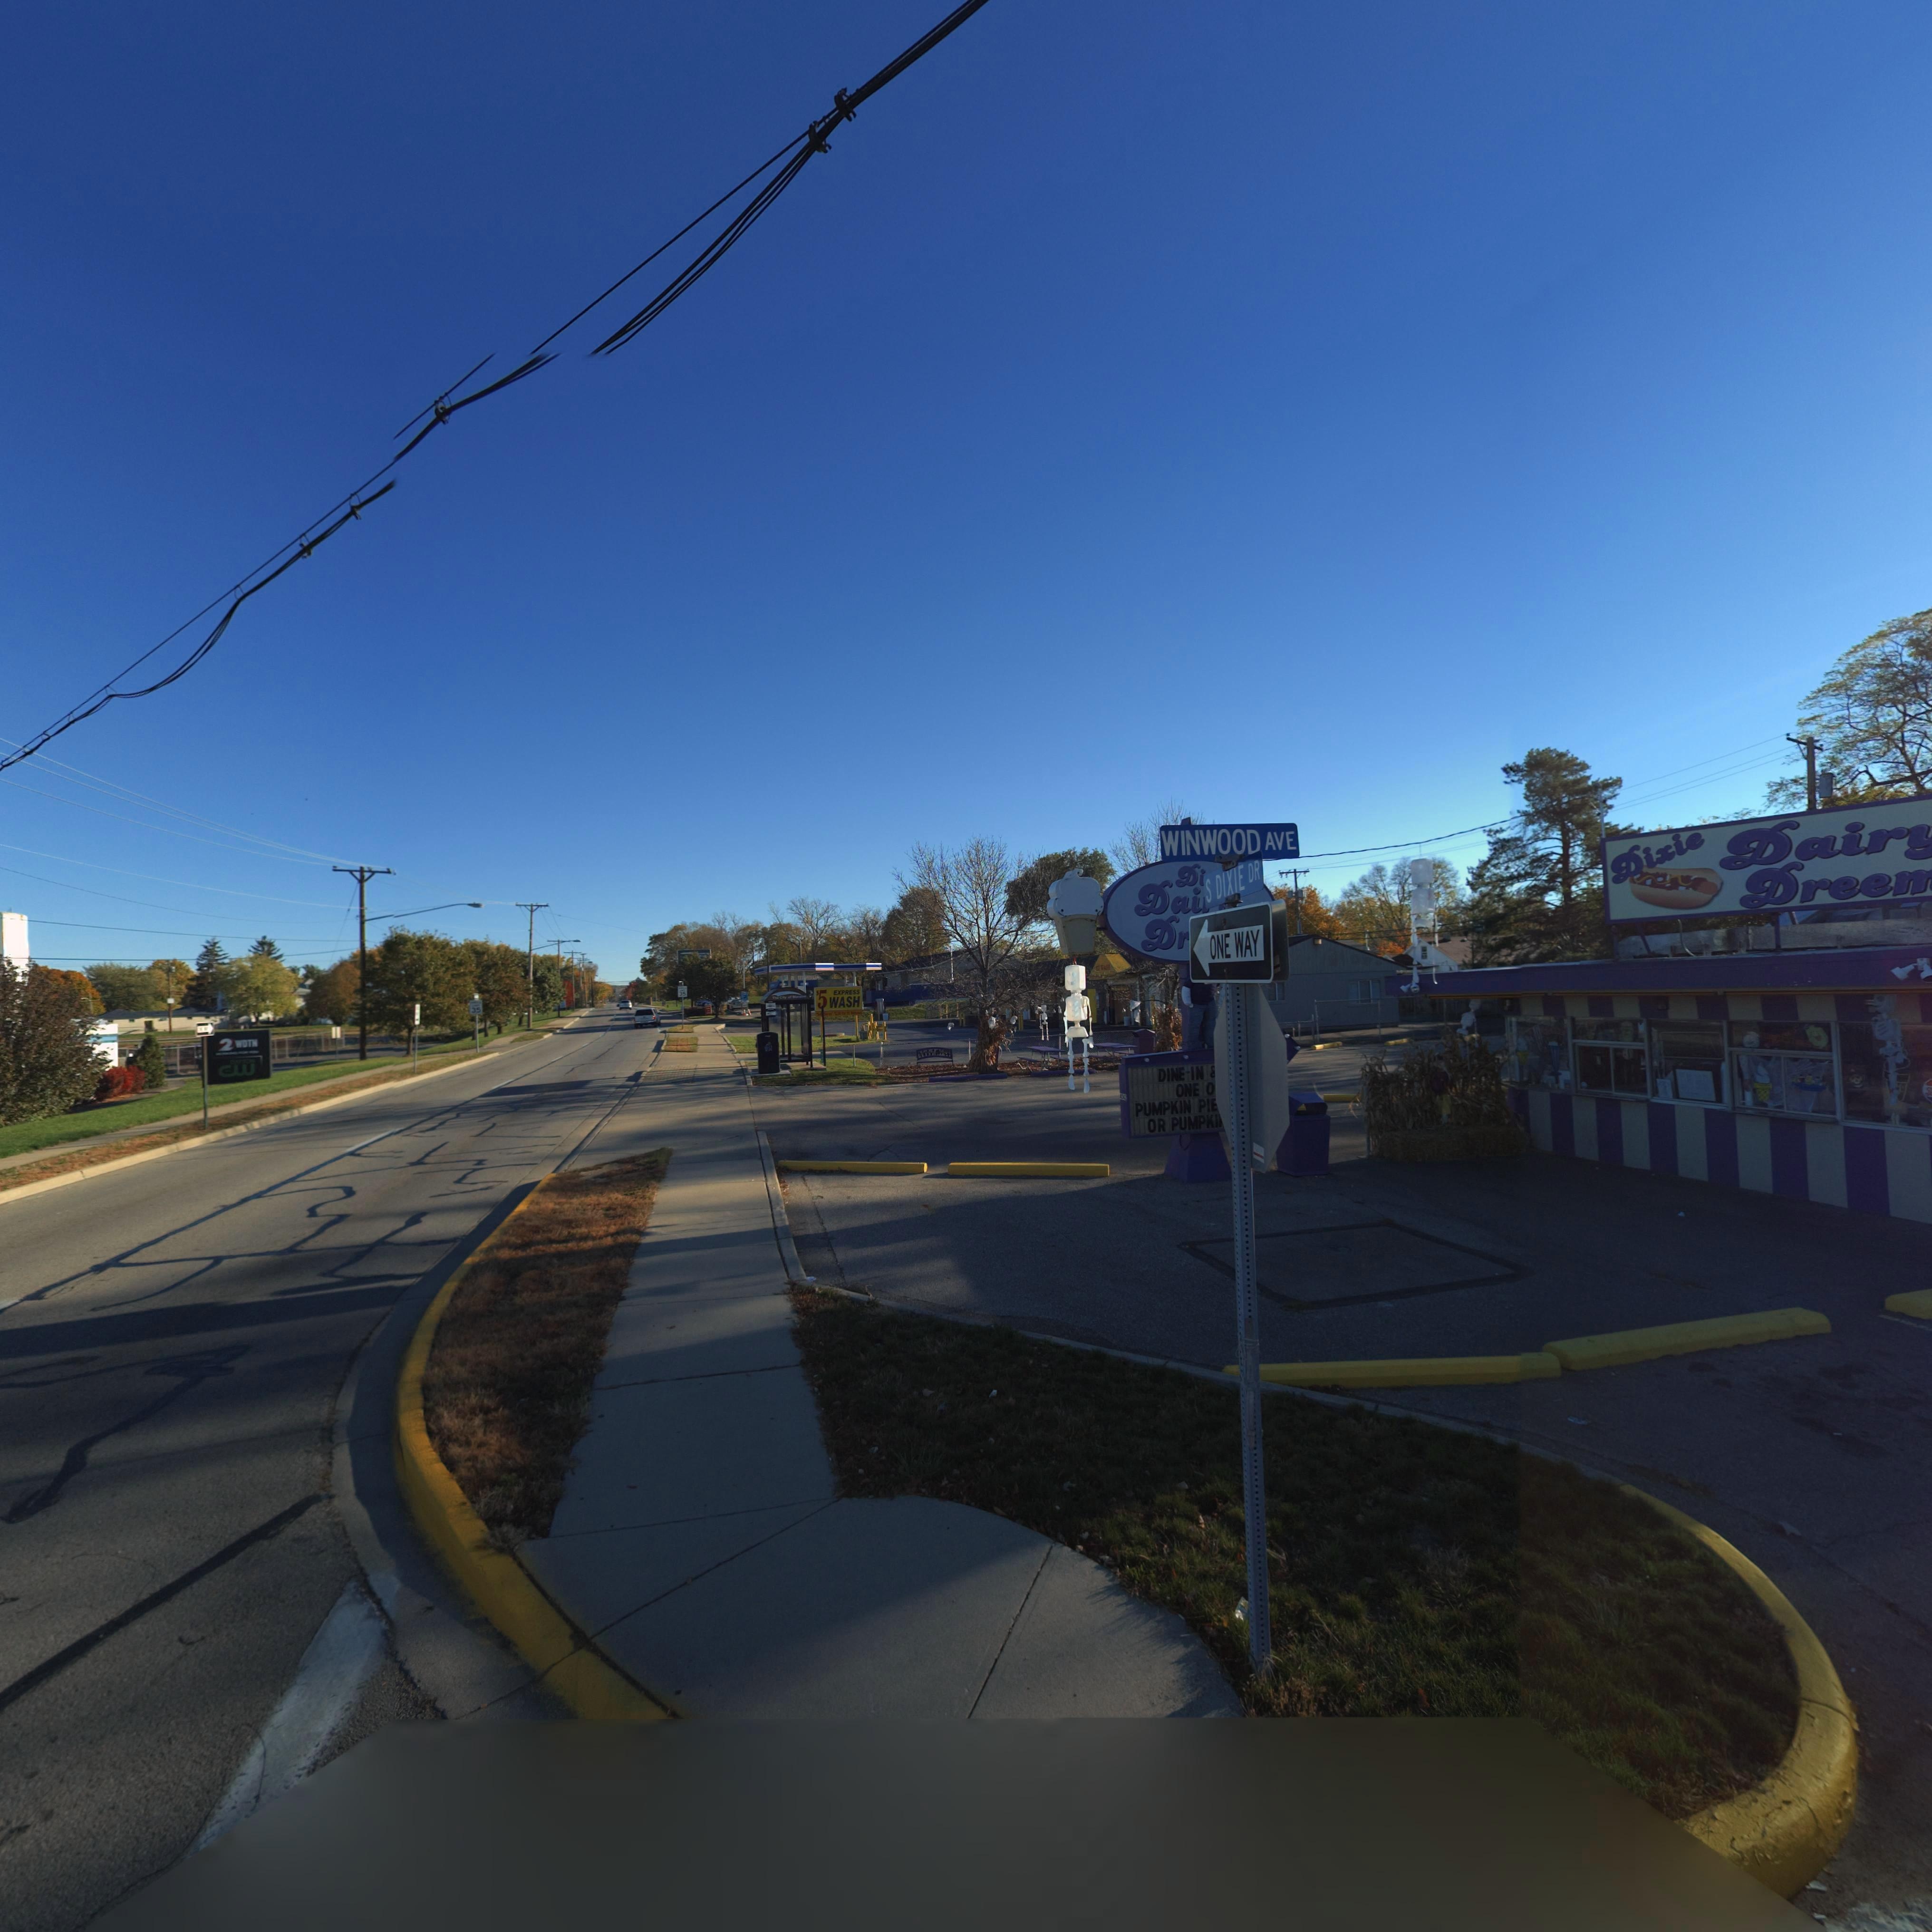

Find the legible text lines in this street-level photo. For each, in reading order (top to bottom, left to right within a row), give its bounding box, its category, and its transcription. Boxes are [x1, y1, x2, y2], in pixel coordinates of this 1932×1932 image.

[1120, 1092, 1127, 1101] StreetNumber: 4542